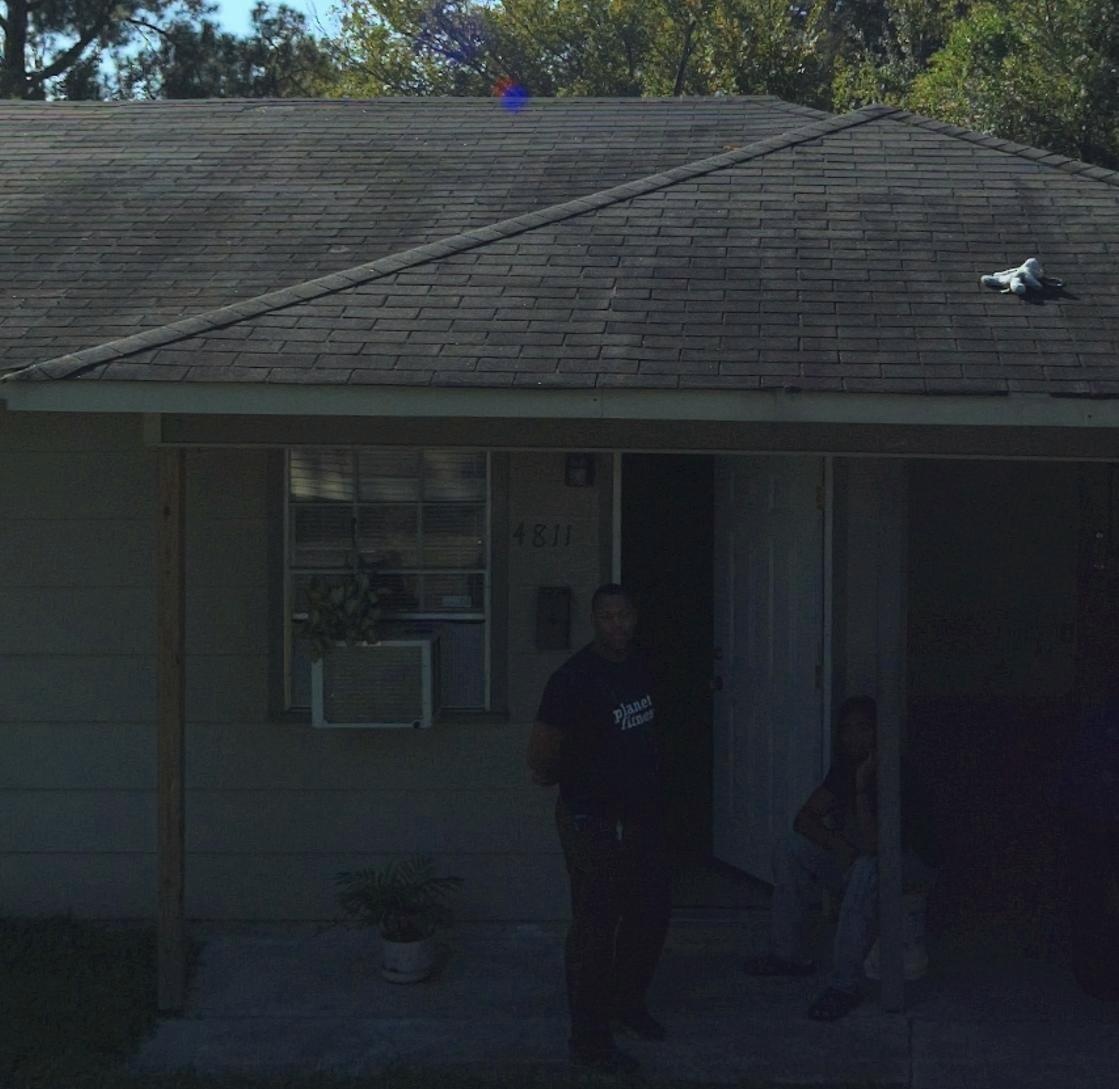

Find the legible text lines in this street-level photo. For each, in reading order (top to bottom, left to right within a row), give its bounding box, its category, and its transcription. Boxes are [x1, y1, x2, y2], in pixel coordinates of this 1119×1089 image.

[512, 519, 573, 548] StreetNumber: 4811
[611, 692, 653, 725] None: planet
[621, 708, 655, 732] None: fitnes